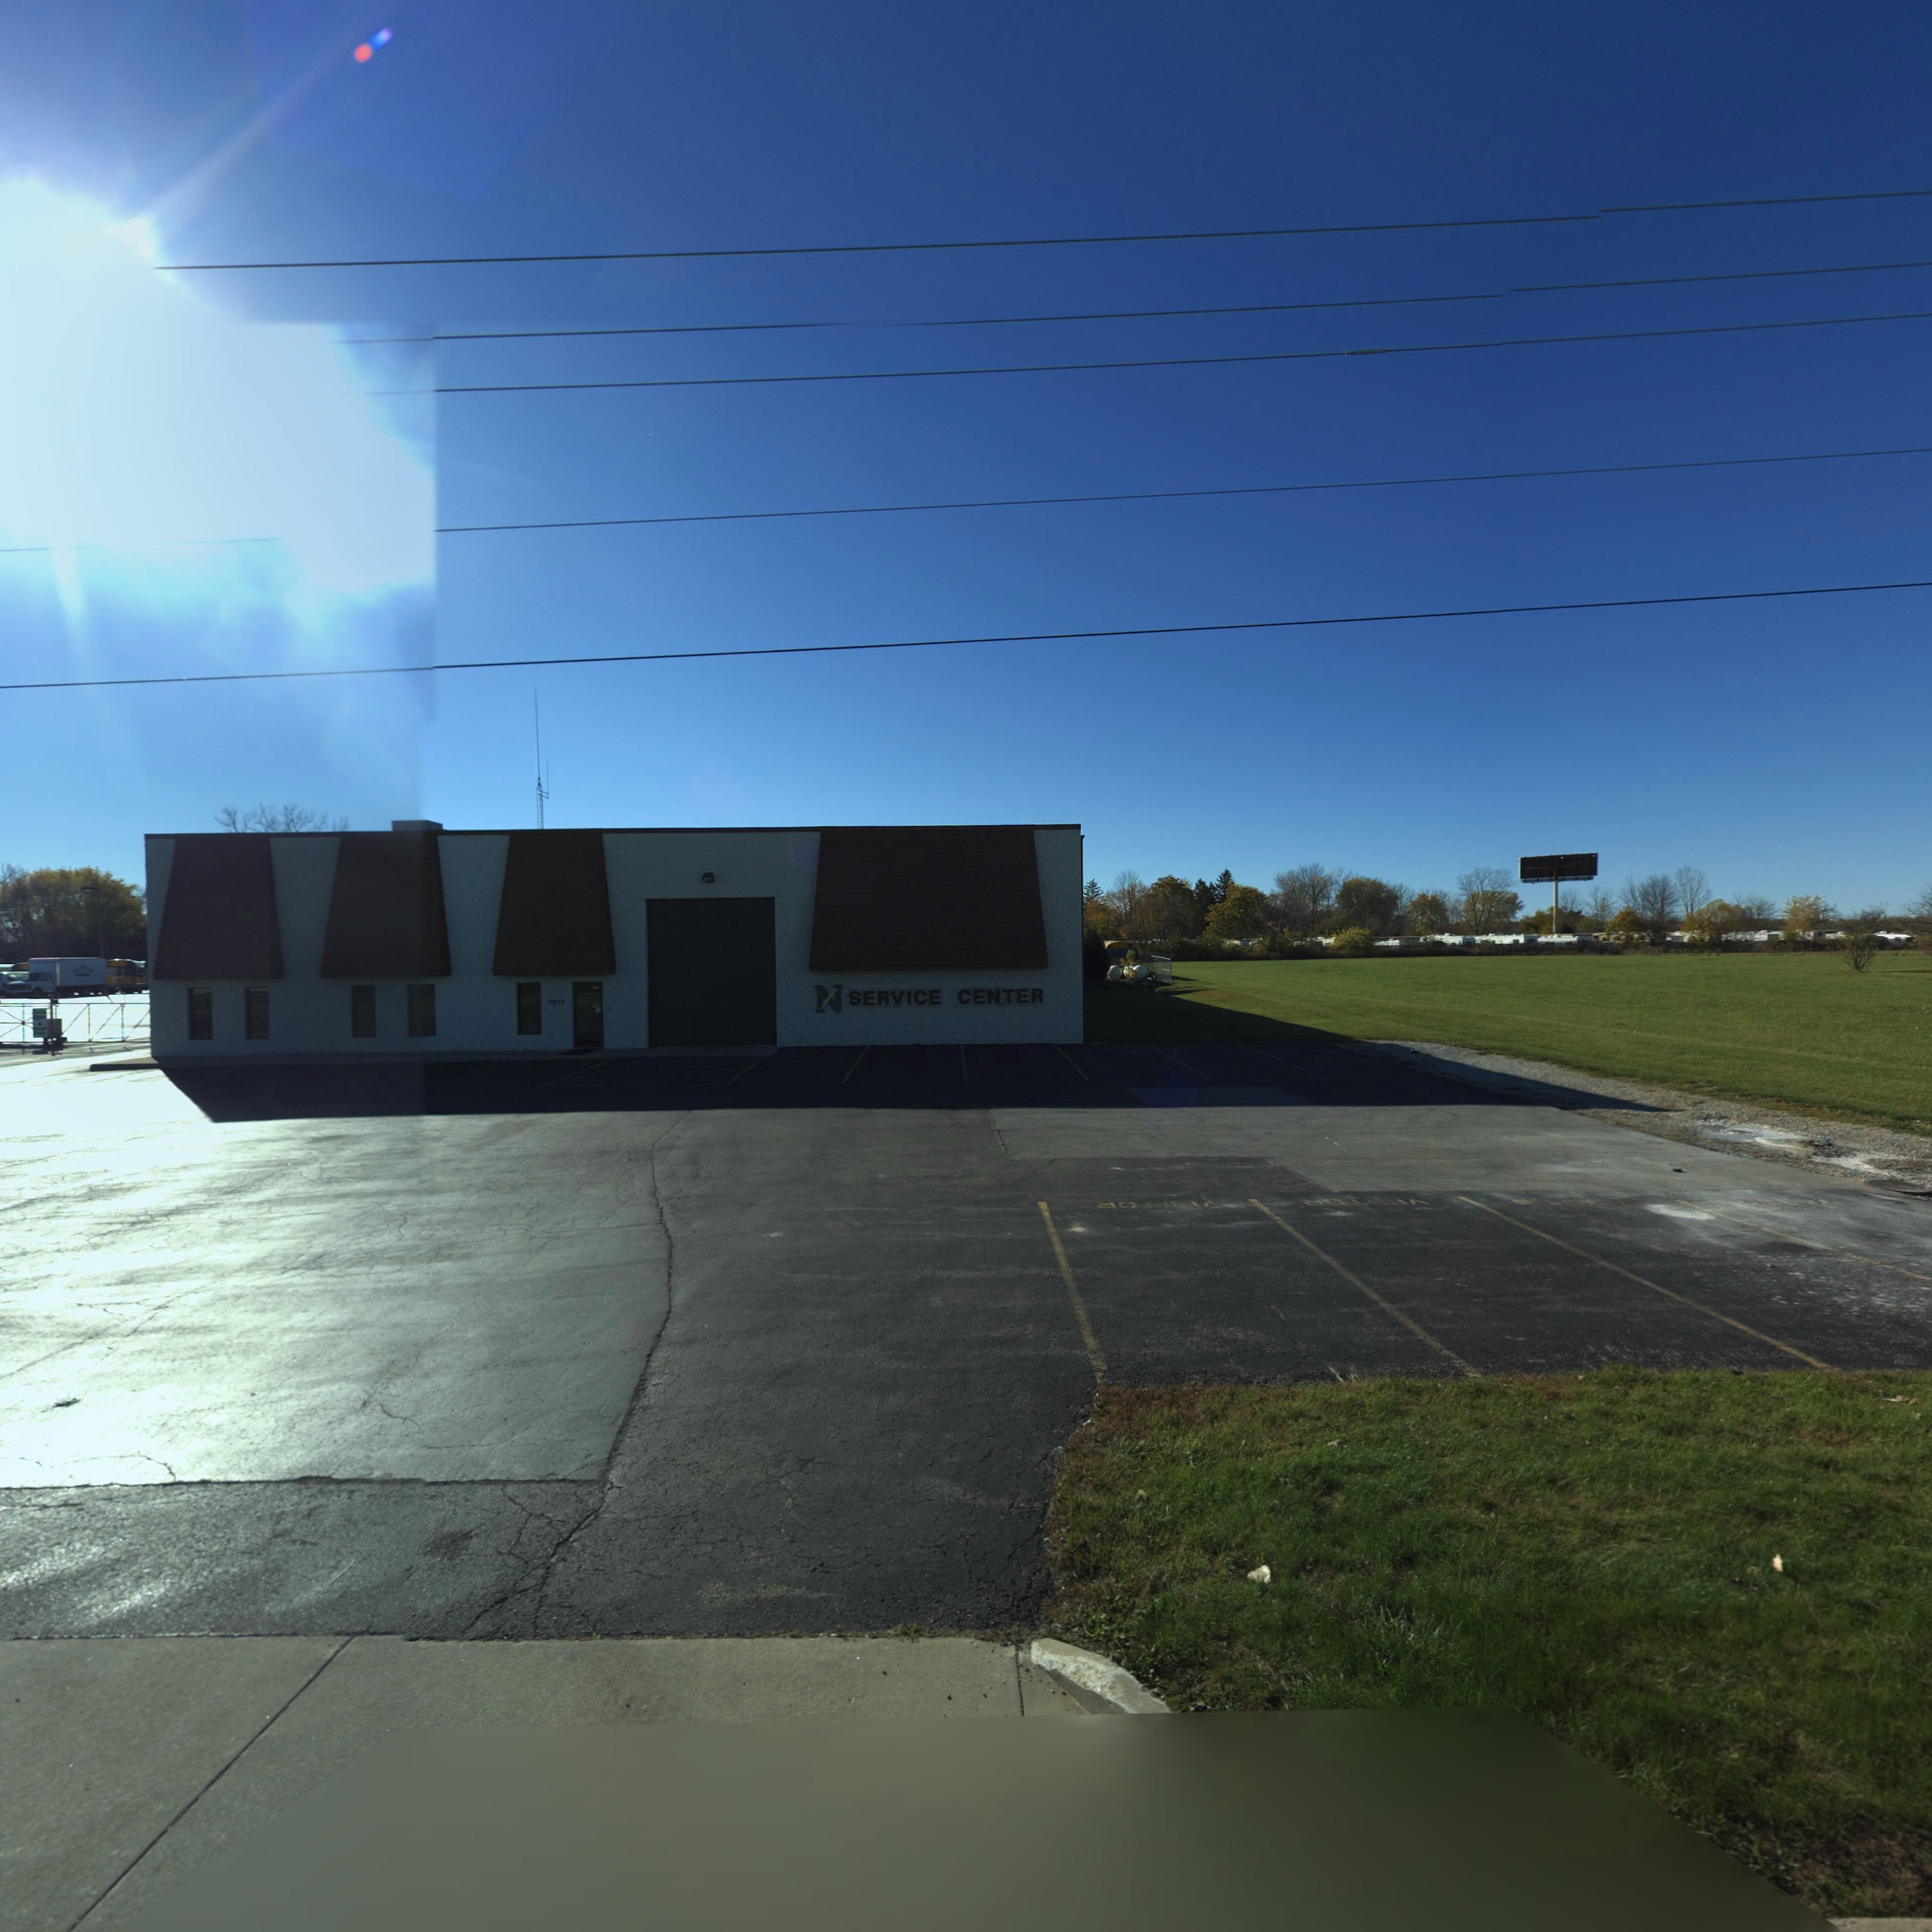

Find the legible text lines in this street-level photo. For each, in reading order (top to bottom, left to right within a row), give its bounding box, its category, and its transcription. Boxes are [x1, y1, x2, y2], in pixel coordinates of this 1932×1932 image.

[548, 999, 565, 1005] StreetNumber: 7277